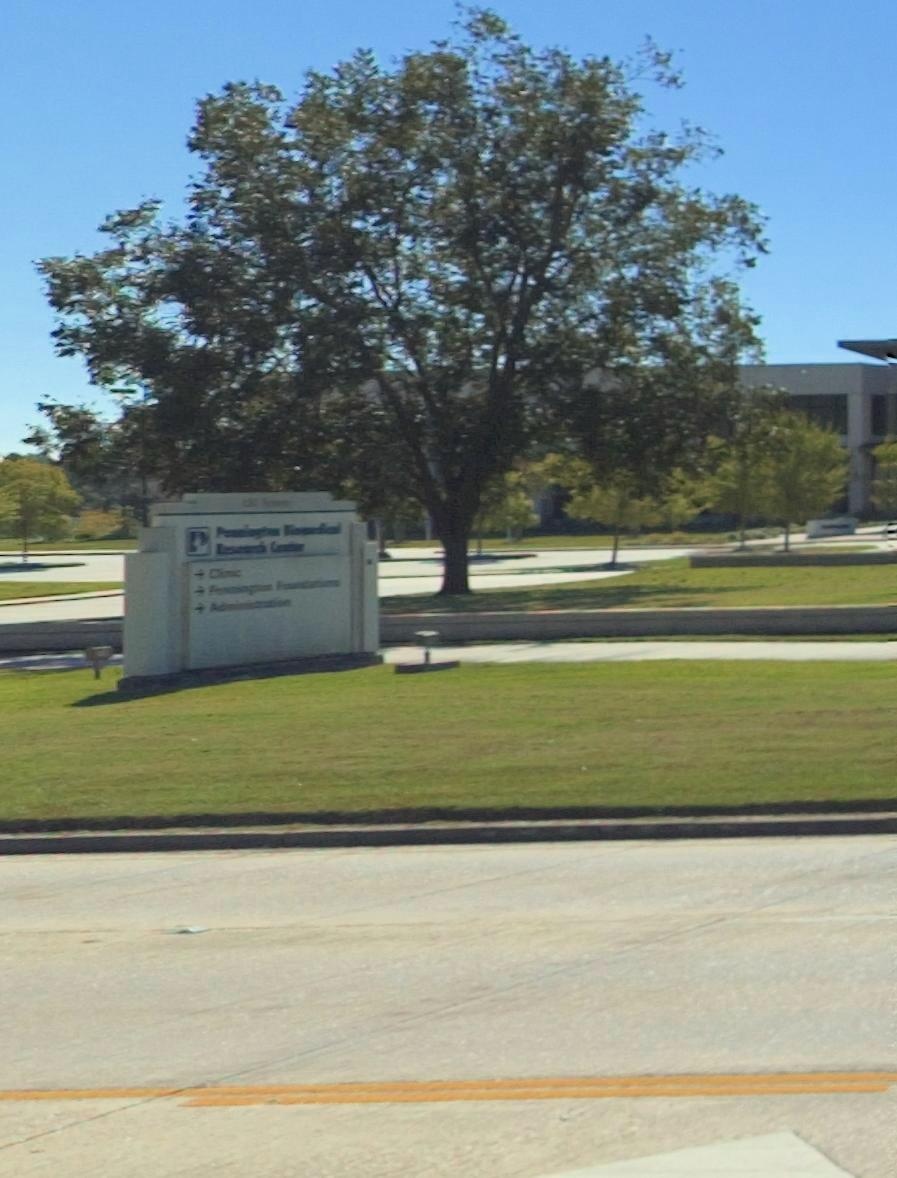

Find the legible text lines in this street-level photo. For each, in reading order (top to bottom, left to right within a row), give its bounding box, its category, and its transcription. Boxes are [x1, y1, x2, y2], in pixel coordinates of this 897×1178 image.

[208, 565, 244, 581] None: Clinic